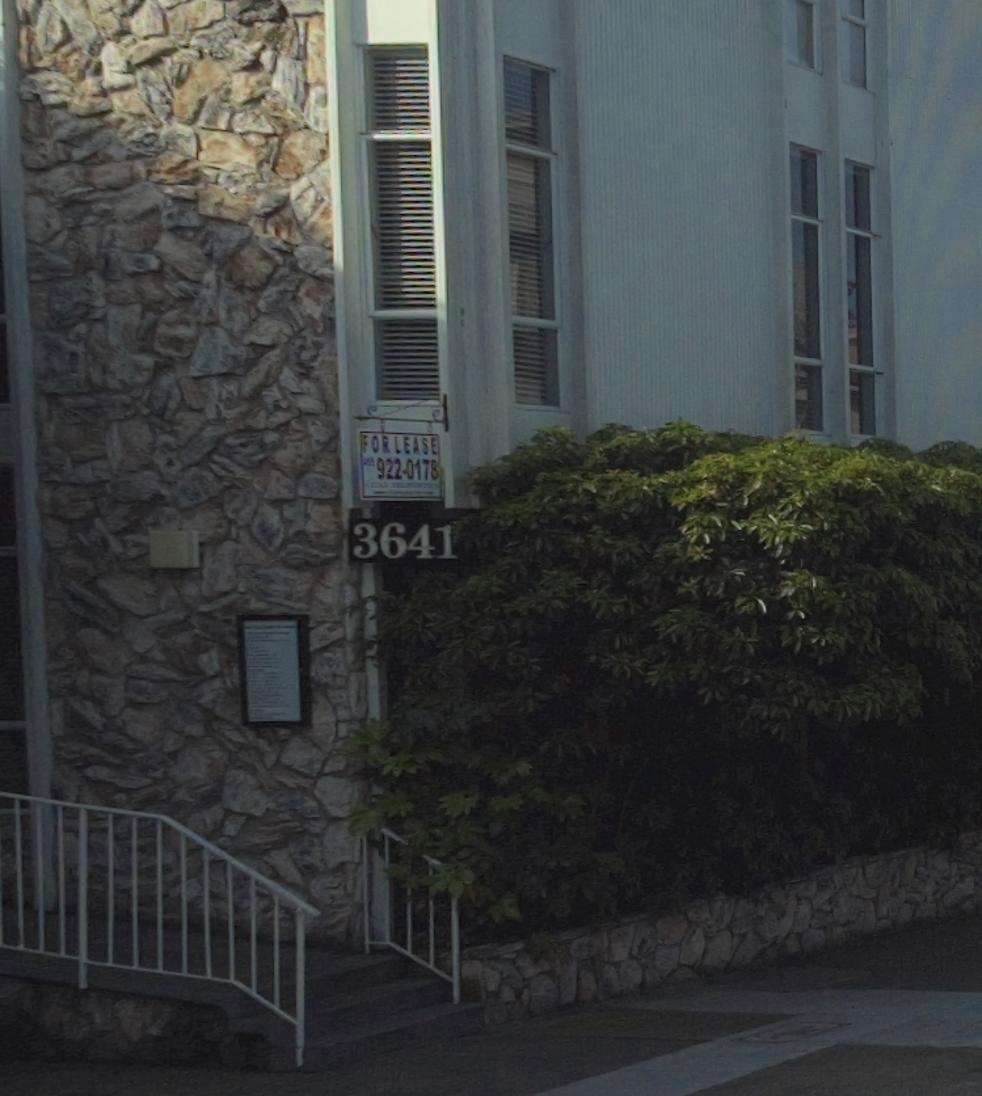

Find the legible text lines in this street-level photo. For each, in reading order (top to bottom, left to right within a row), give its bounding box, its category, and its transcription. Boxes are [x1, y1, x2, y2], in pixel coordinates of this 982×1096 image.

[360, 433, 440, 457] None: FOR LEASE
[374, 456, 440, 482] None: 922-0178
[349, 519, 461, 563] StreetNumber: 3641